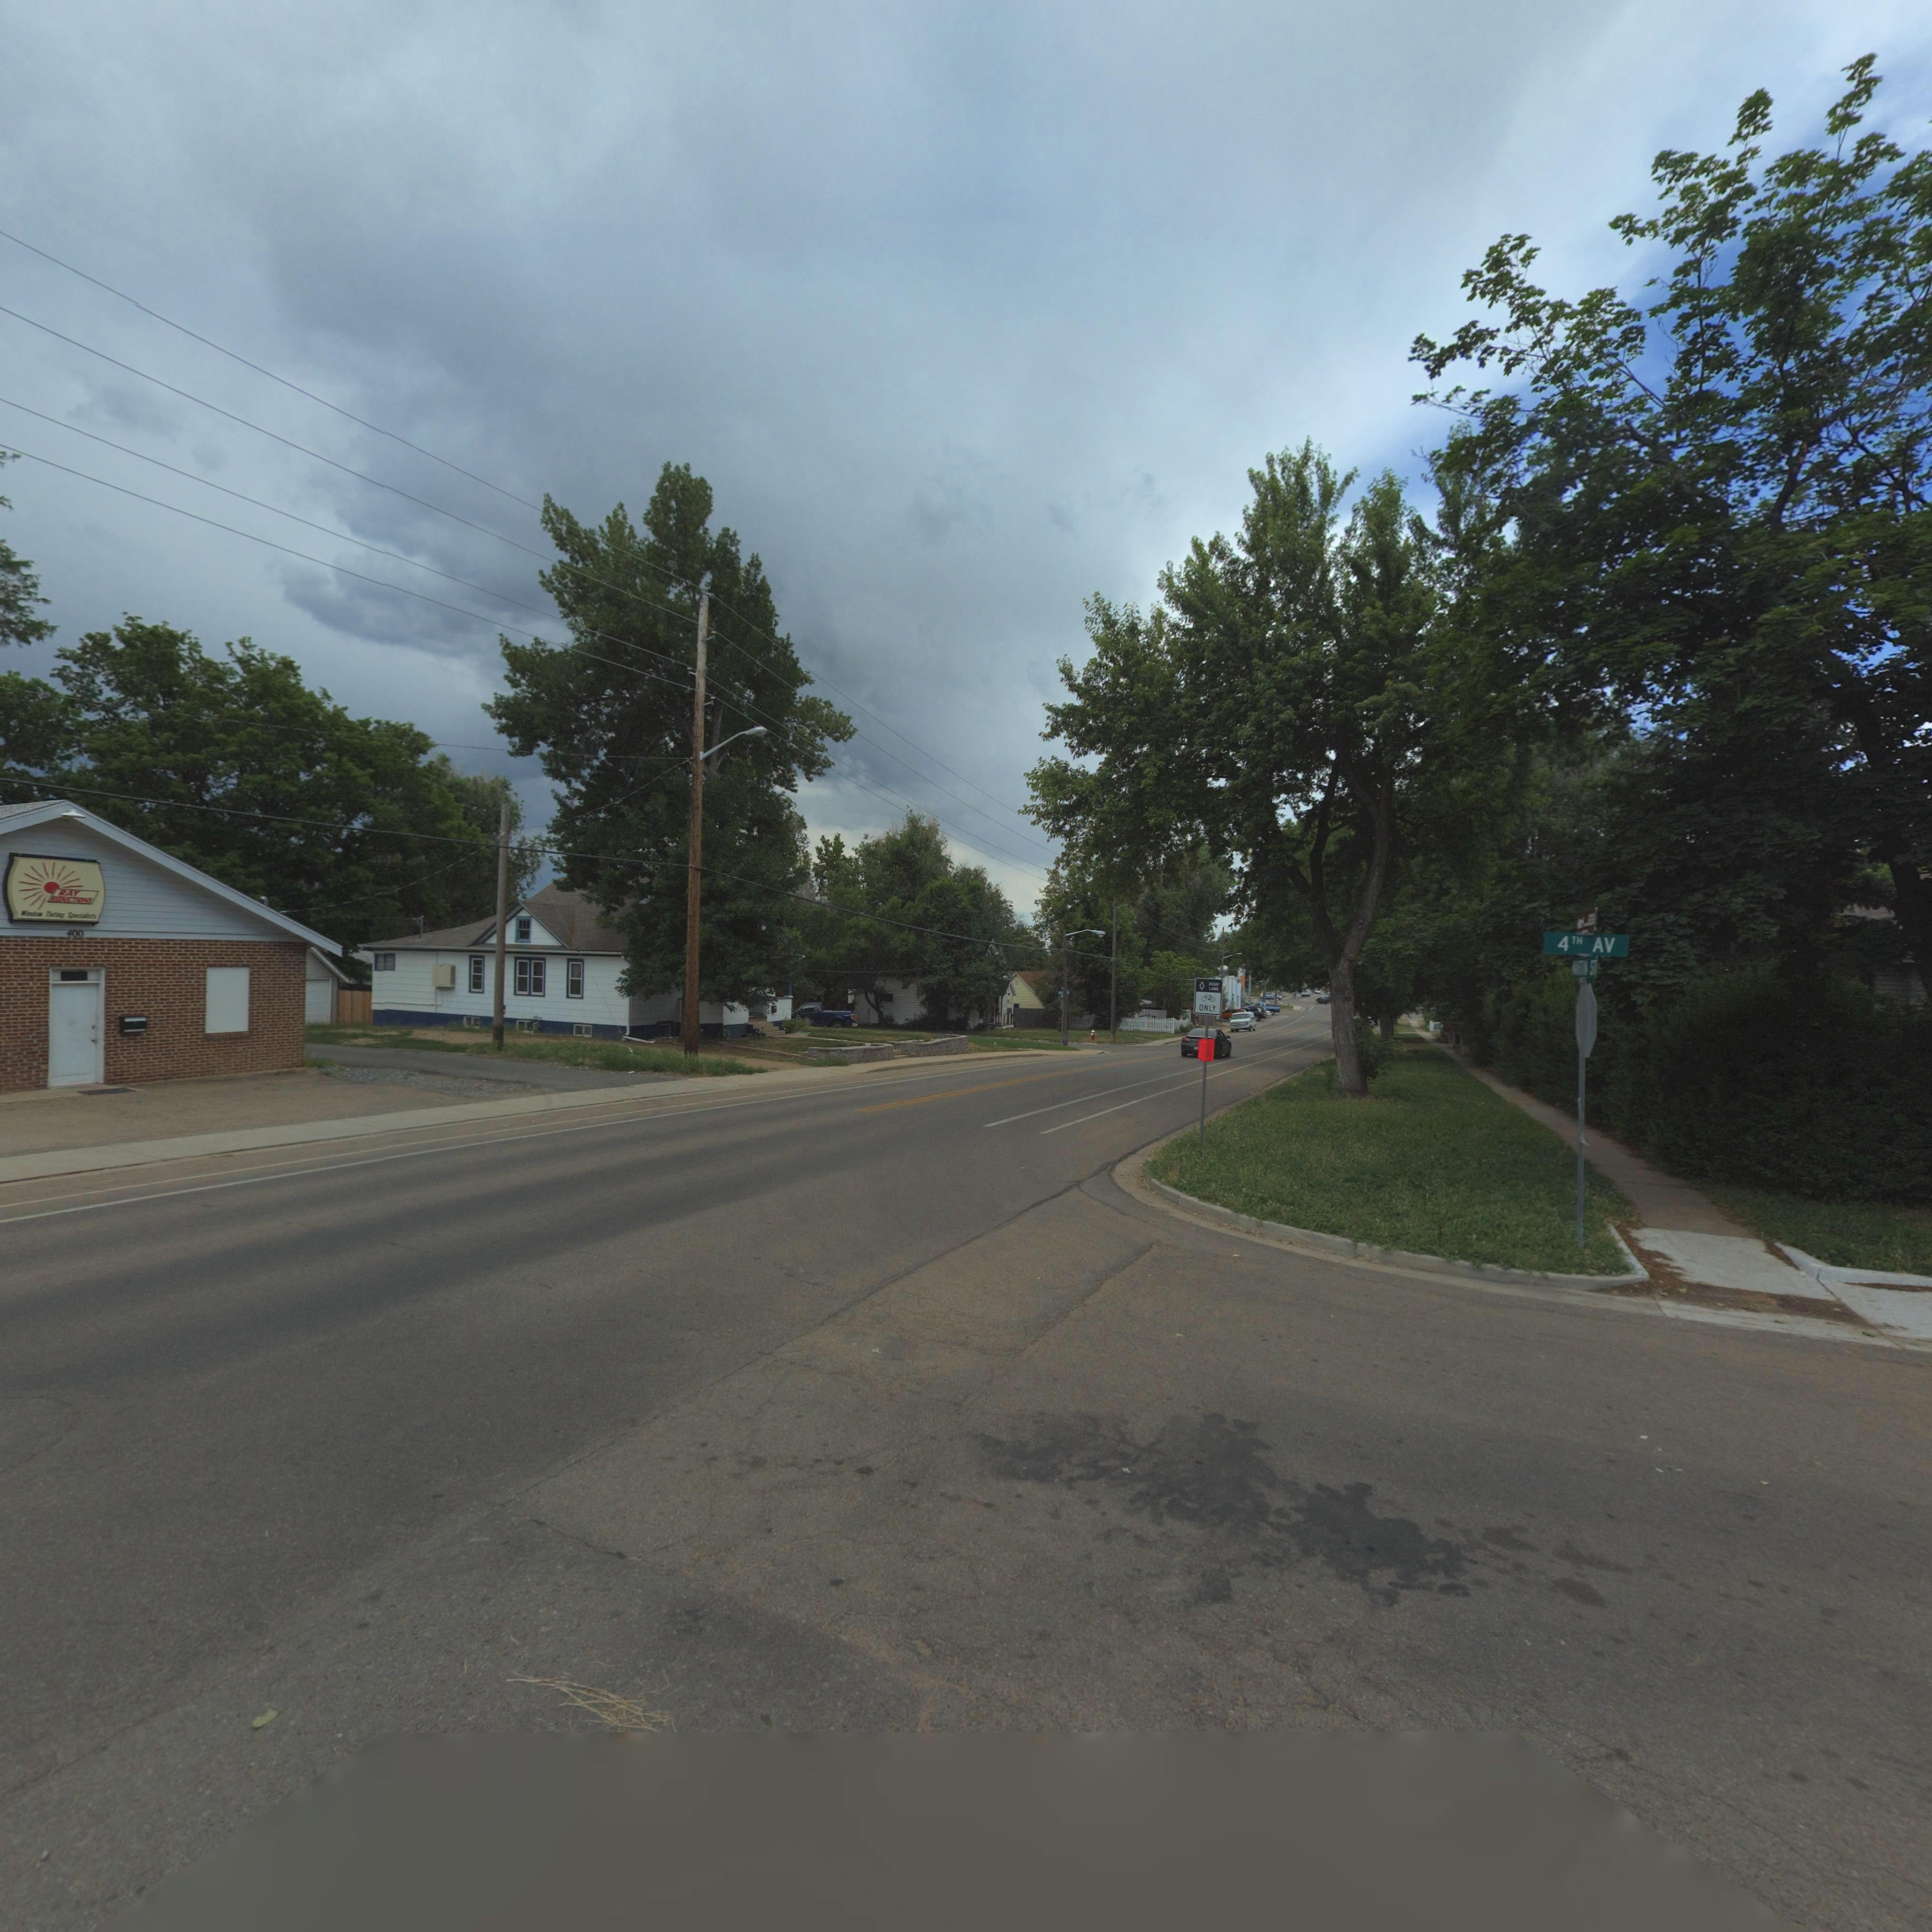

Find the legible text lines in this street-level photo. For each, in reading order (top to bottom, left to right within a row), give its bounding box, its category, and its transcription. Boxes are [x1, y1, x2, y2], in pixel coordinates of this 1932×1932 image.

[57, 889, 81, 896] BusinessName: RAY 
[48, 895, 94, 904] BusinessName: ***UCTIONS
[66, 929, 84, 937] StreetNumber: 400
[1556, 935, 1616, 953] StreetName: 4TH AV
[1589, 959, 1597, 976] StreetName: ST